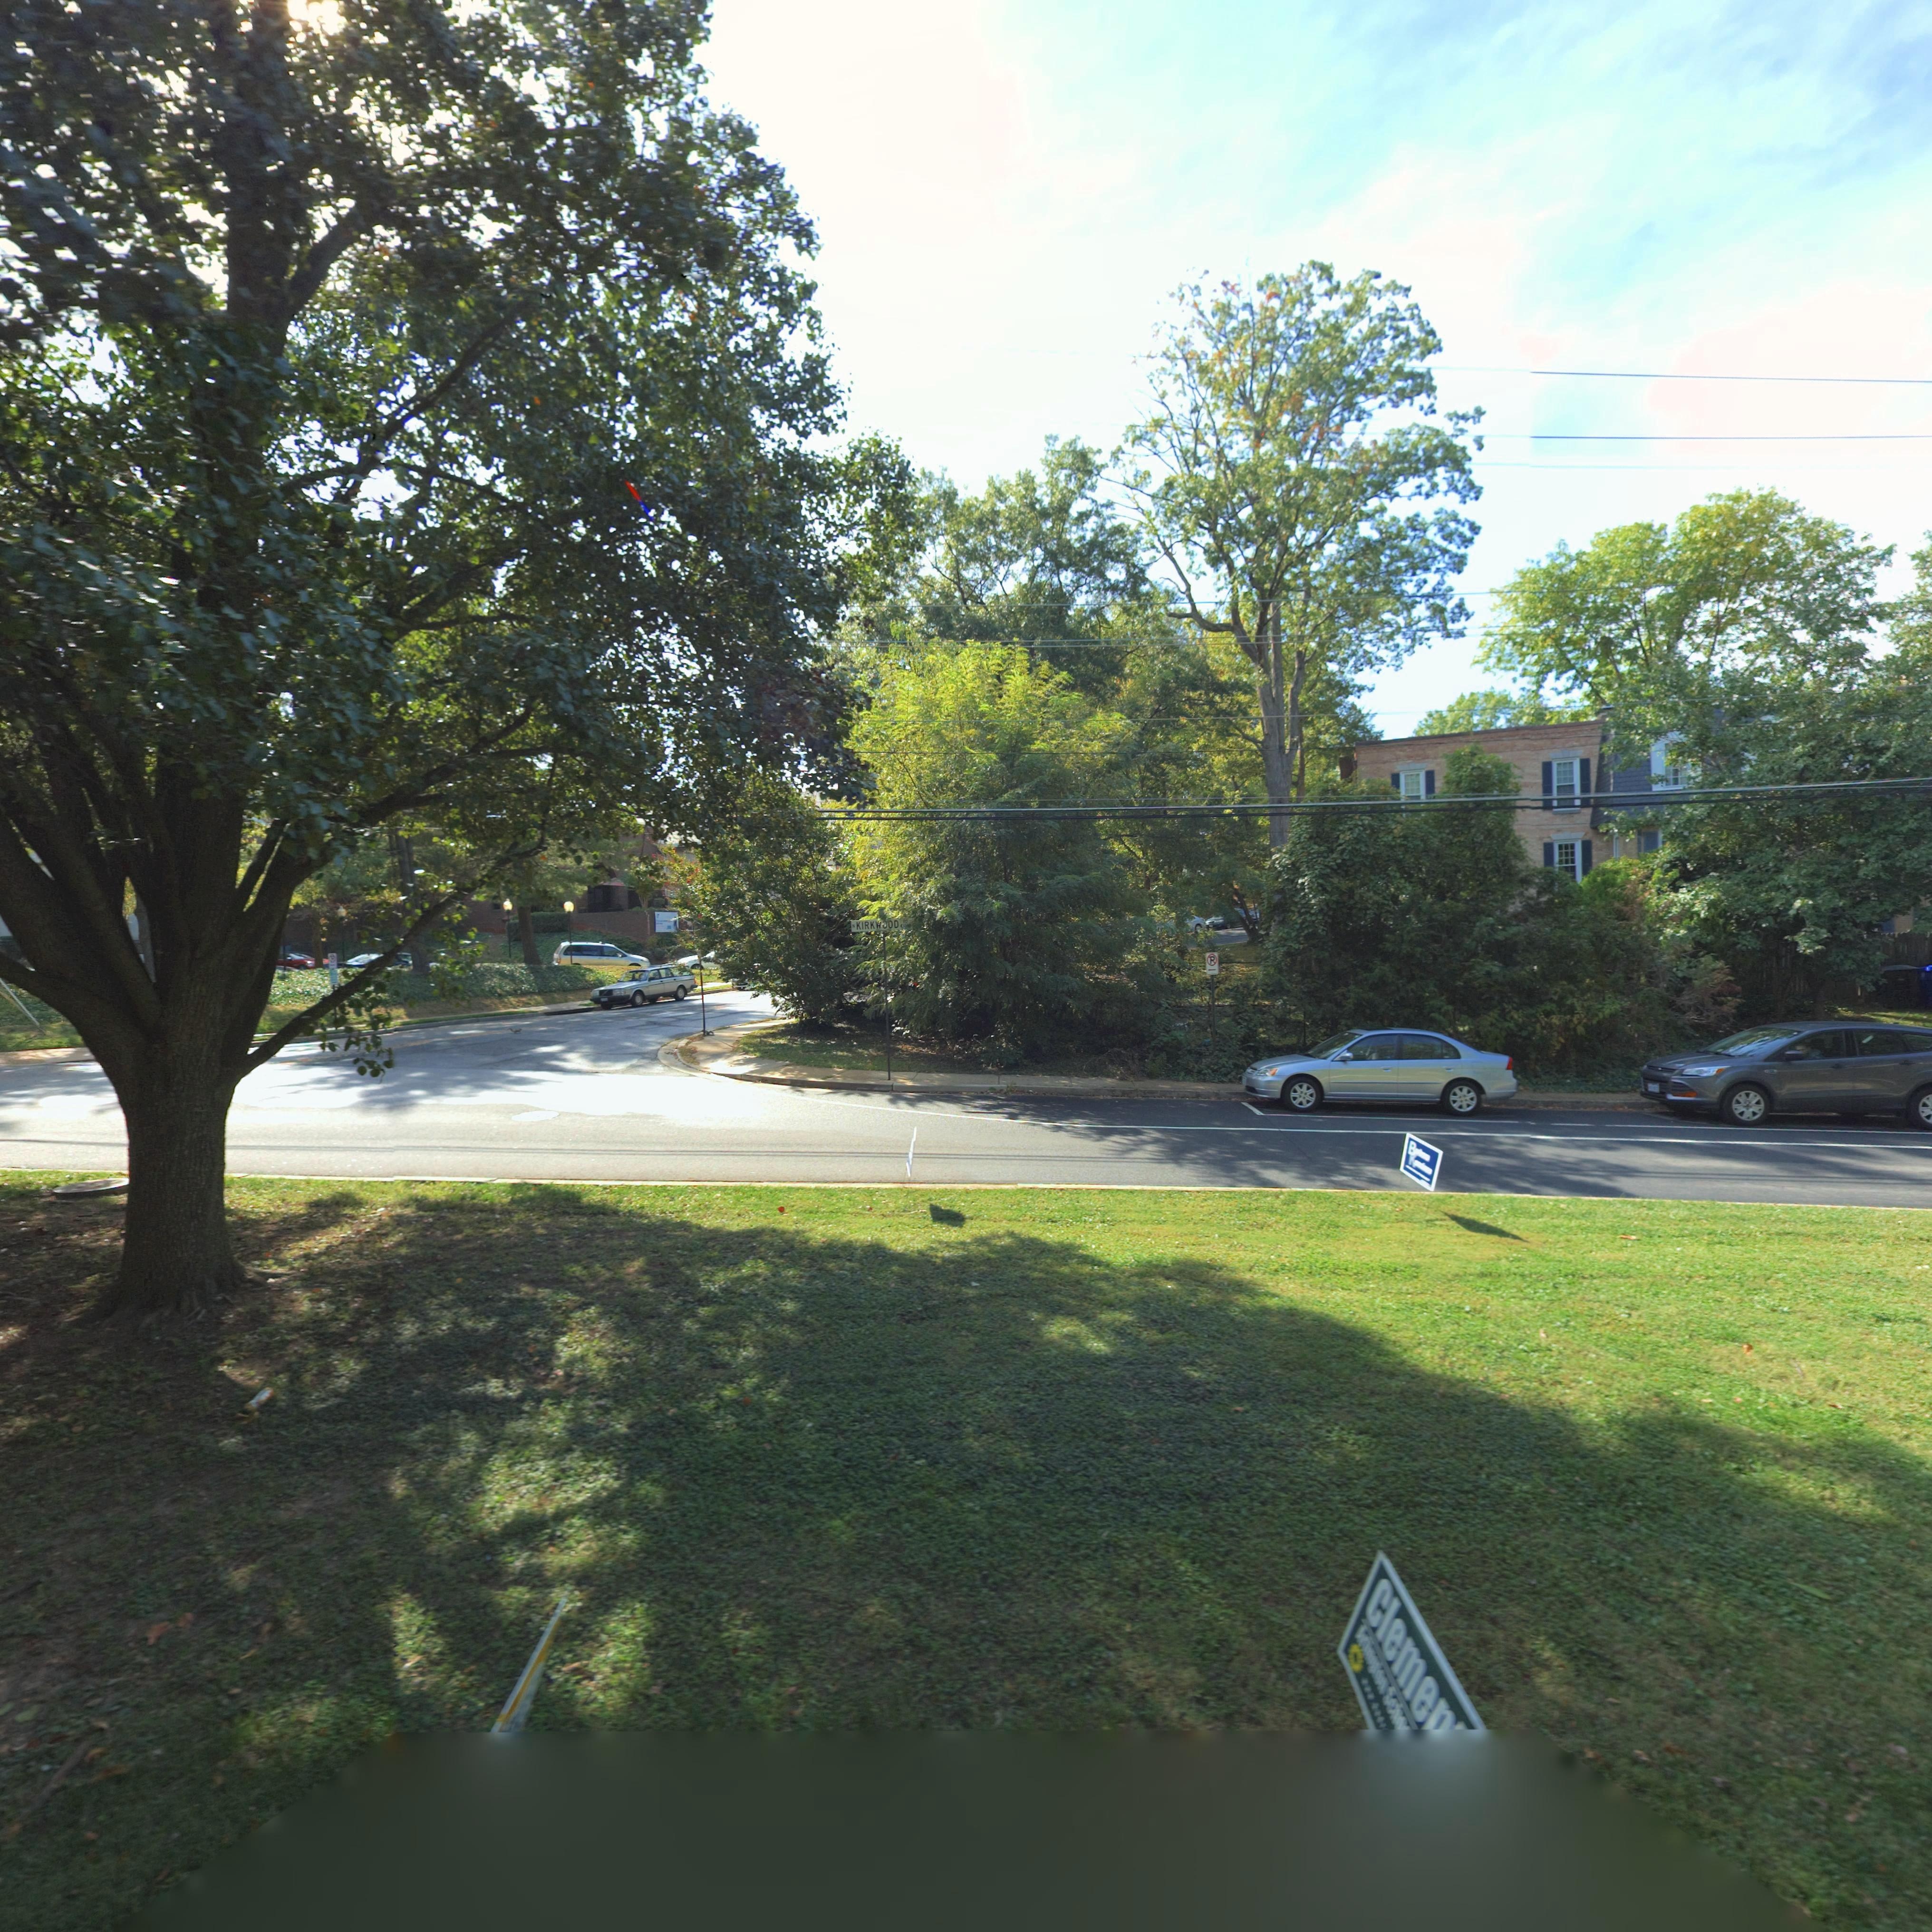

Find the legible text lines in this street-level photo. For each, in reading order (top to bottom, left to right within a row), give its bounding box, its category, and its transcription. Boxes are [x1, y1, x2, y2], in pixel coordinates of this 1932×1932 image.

[851, 919, 909, 930] StreetName: N KIRK**OD RD
[899, 923, 912, 929] StreetNumberRange: <-****
[1407, 1140, 1418, 1157] None: B
[1364, 1577, 1443, 1724] None: Cleme